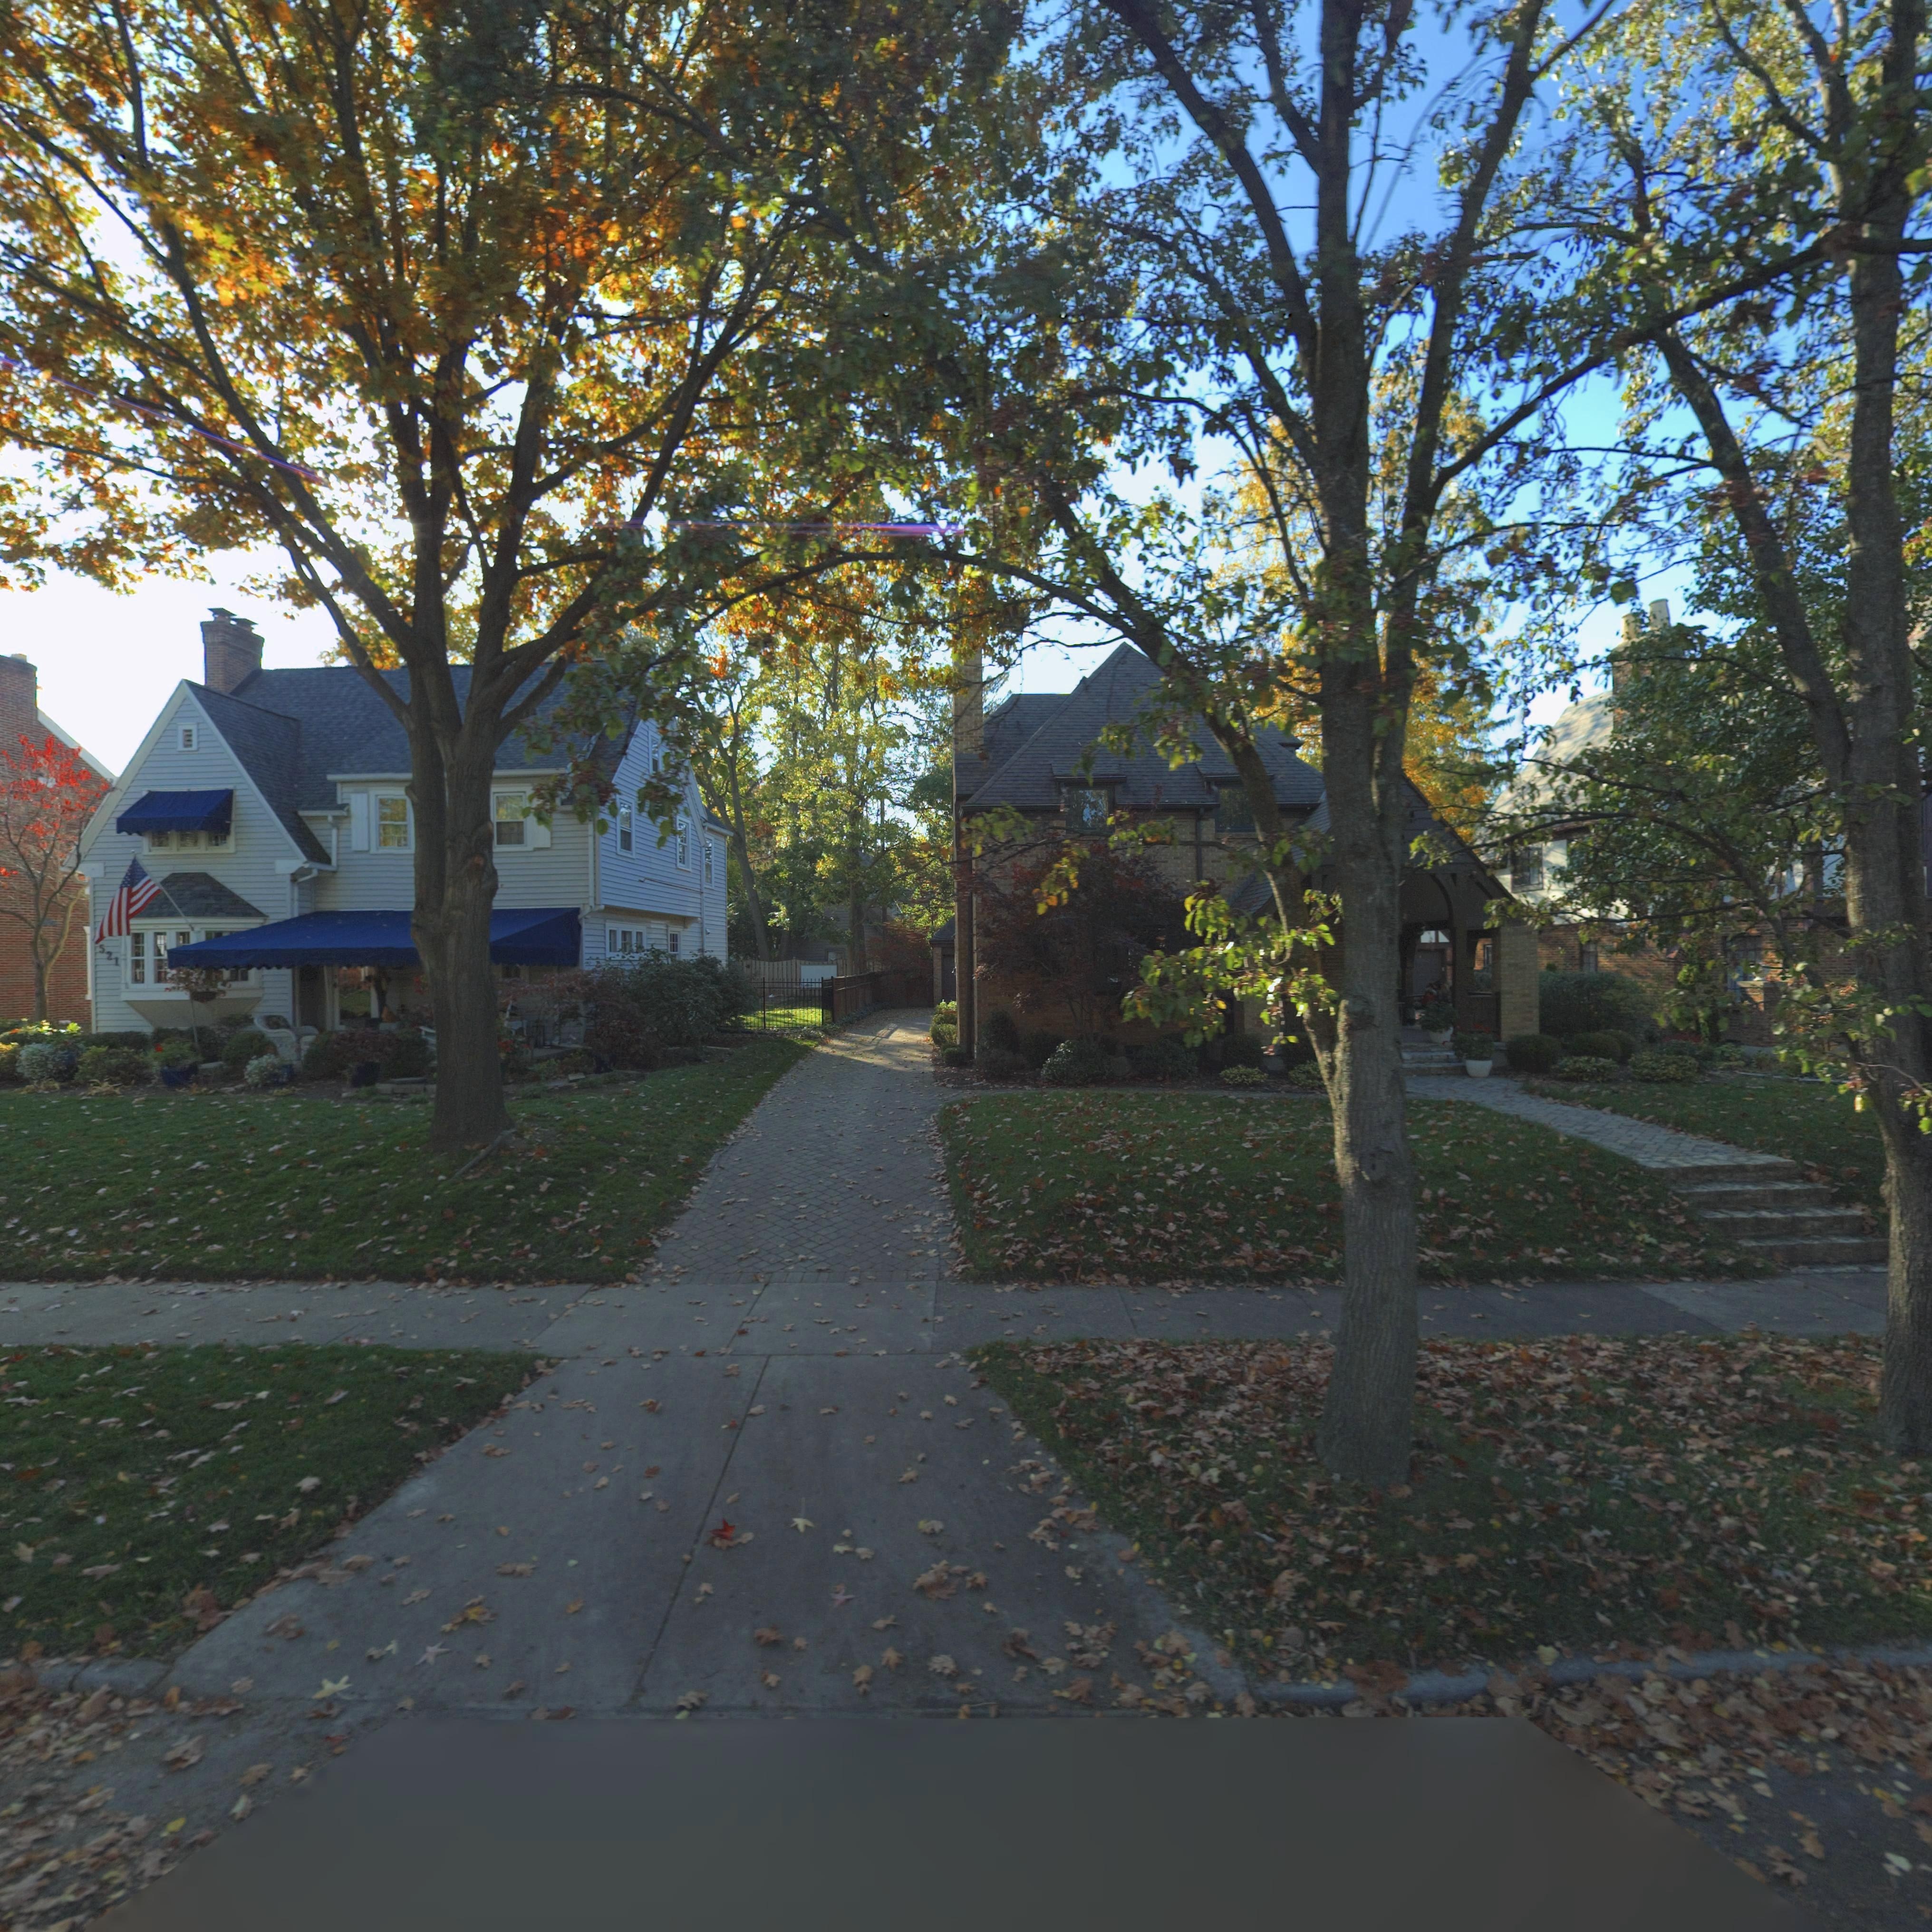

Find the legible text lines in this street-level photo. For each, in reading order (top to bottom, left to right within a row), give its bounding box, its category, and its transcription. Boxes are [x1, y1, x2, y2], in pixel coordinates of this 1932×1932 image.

[97, 942, 122, 968] StreetNumber: 521